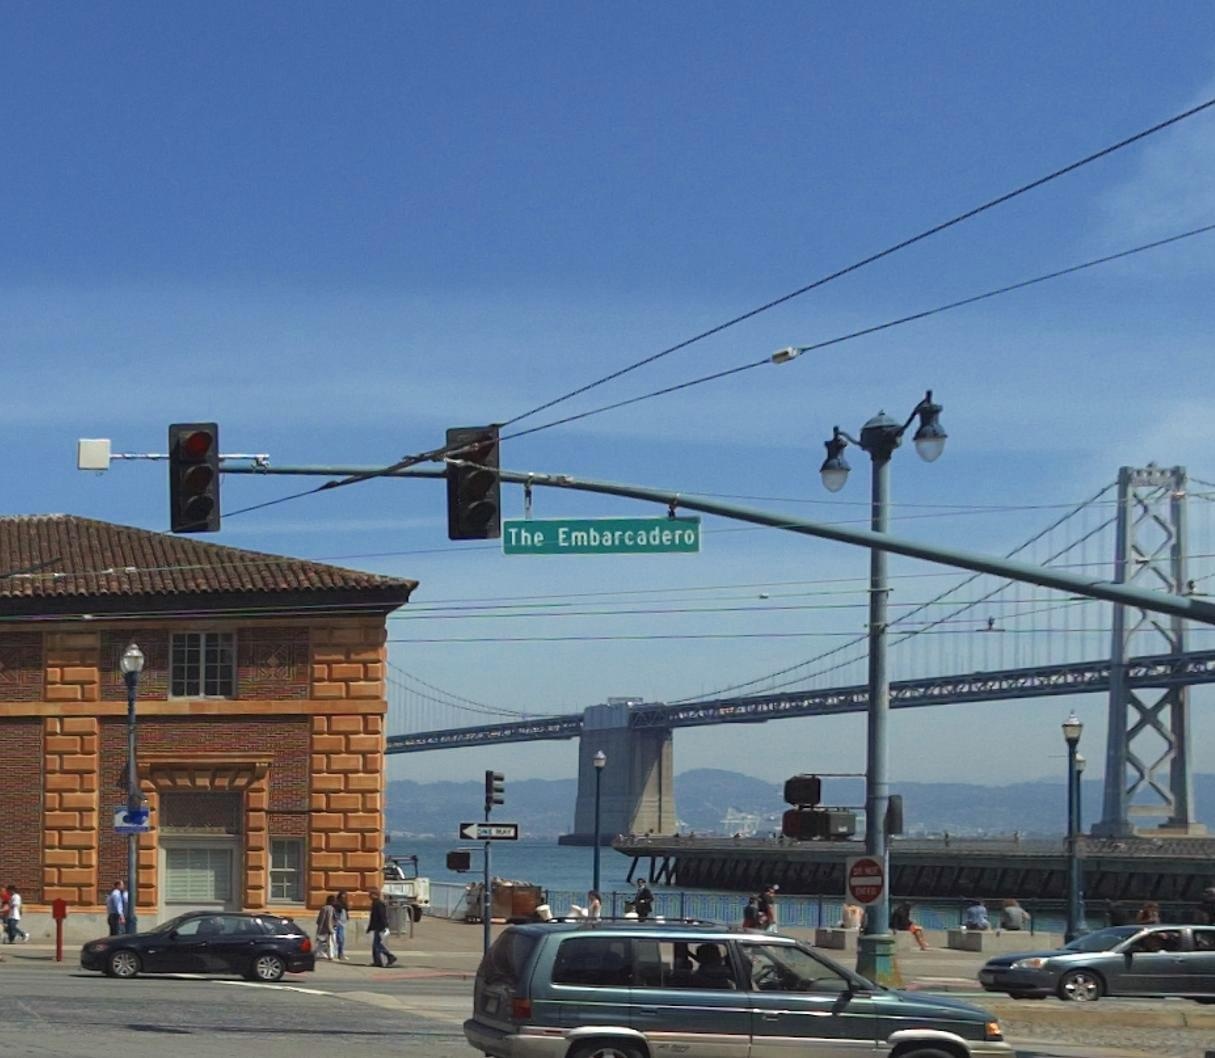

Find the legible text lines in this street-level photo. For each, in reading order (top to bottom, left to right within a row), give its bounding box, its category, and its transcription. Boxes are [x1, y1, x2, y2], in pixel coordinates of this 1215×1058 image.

[507, 525, 695, 548] StreetName: The Embarcadero